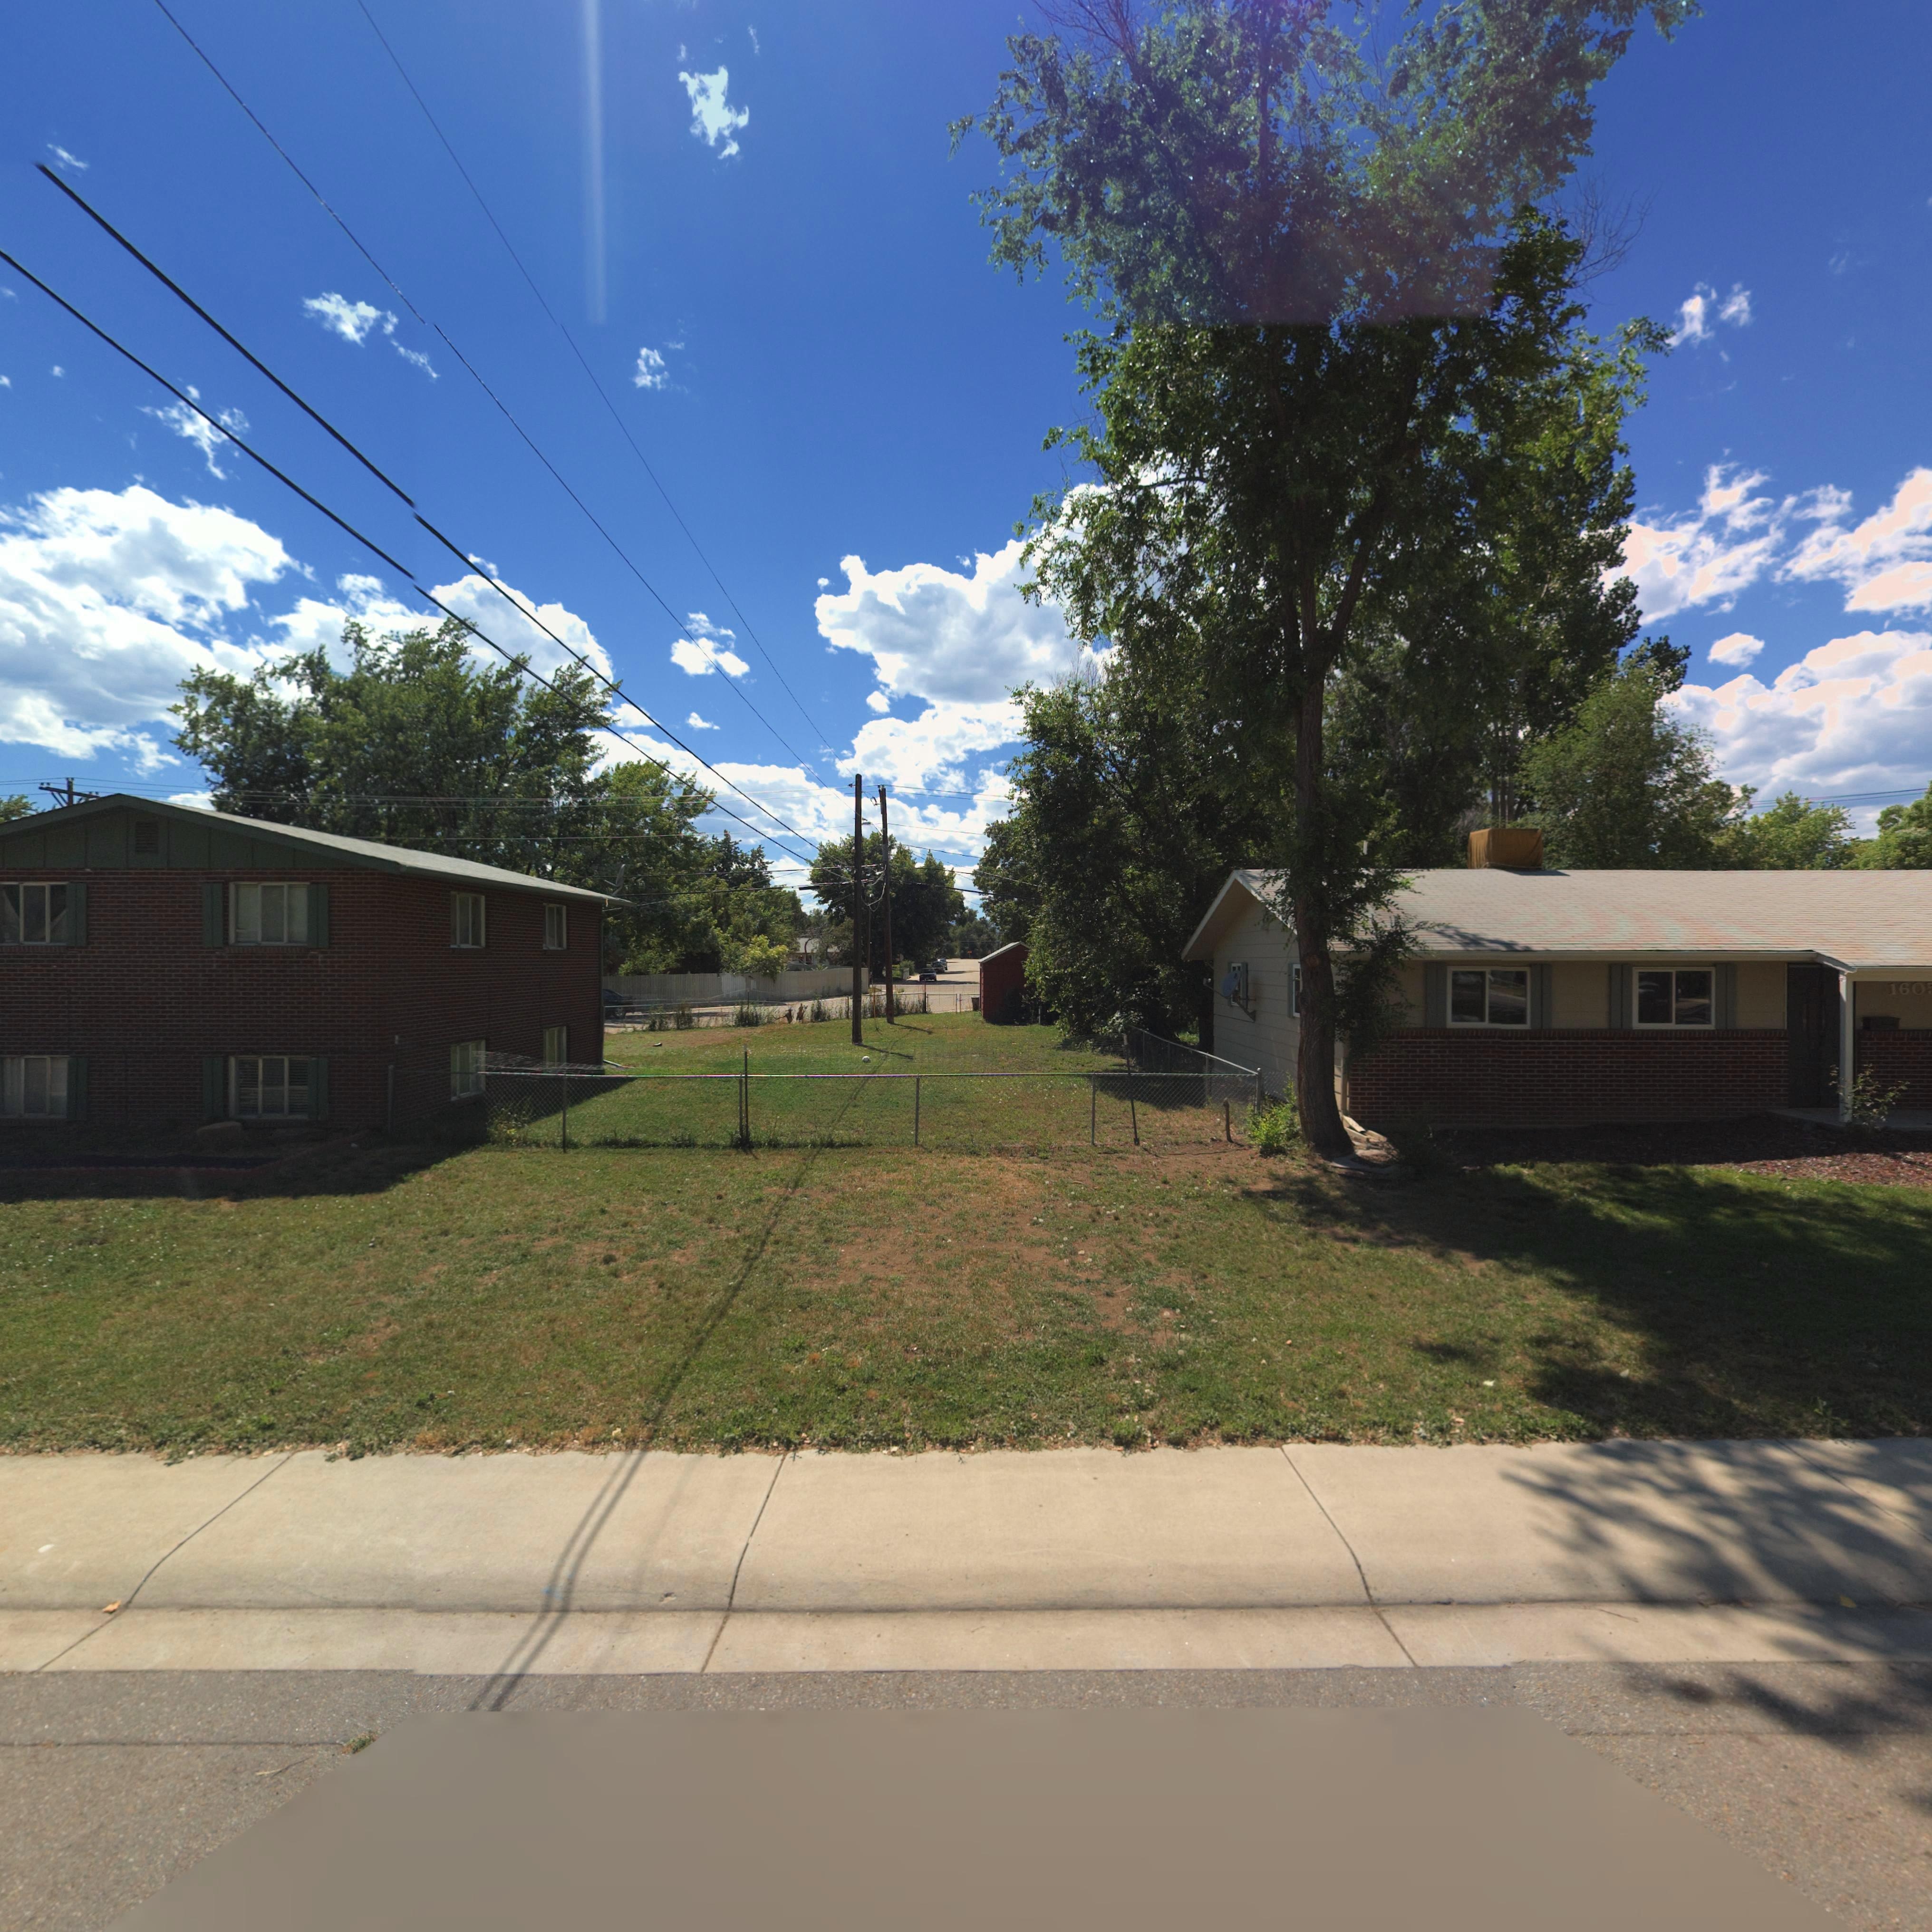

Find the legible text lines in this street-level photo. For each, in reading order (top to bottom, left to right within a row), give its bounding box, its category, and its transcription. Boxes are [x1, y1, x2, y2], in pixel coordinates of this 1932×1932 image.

[1891, 982, 1925, 995] StreetNumber: 160